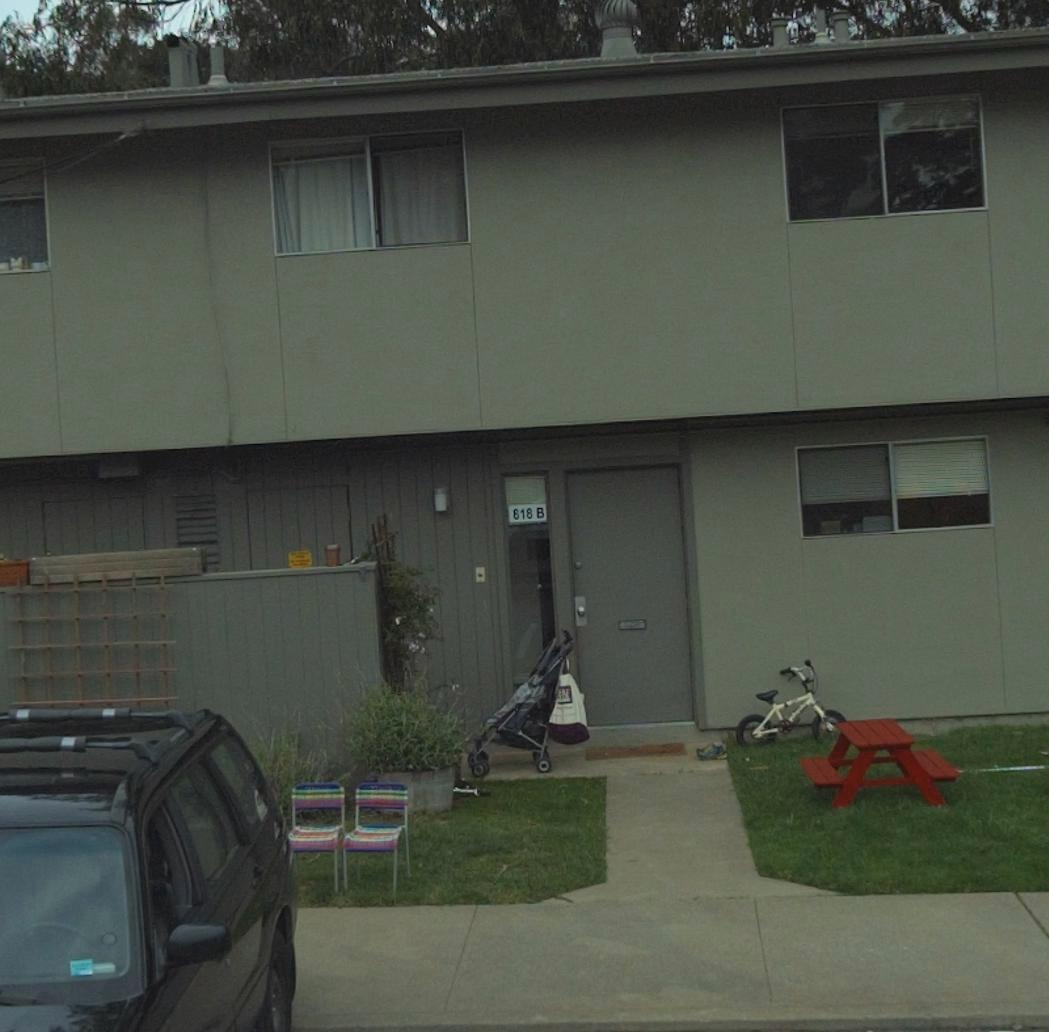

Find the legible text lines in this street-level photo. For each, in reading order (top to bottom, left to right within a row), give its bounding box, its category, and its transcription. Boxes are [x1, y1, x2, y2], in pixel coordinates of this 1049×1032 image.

[512, 506, 546, 521] StreetNumber: 818 B